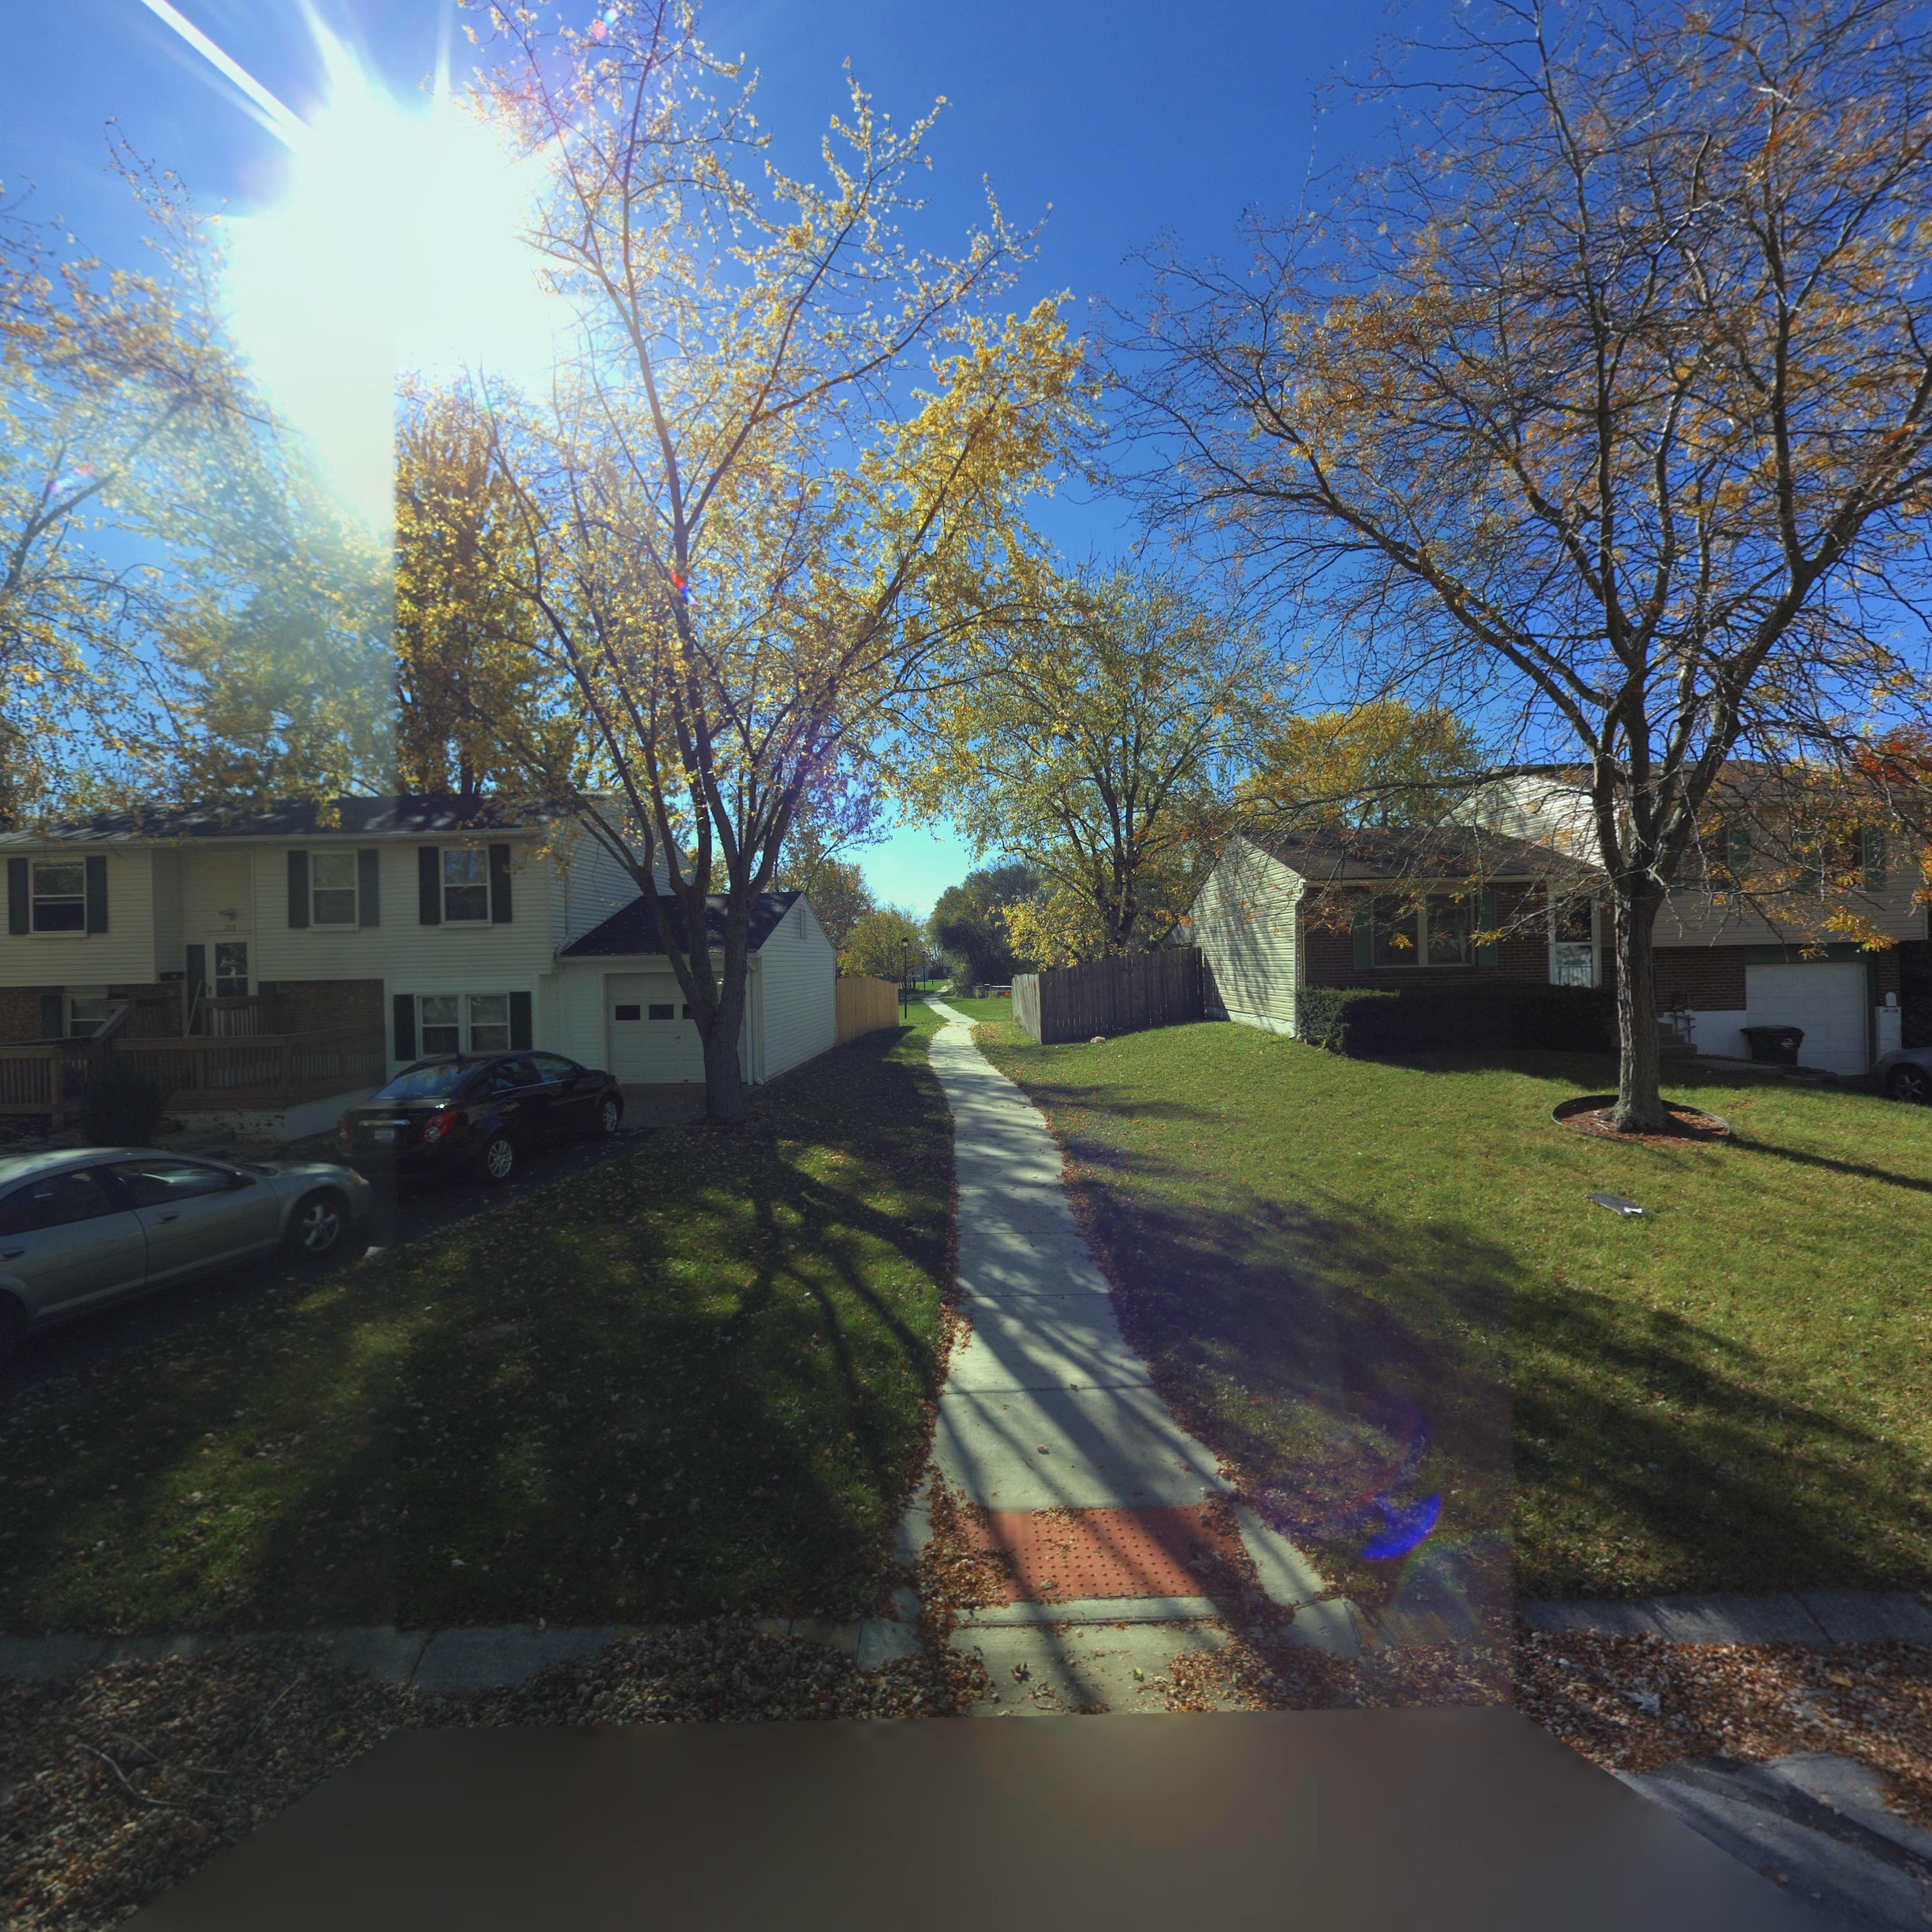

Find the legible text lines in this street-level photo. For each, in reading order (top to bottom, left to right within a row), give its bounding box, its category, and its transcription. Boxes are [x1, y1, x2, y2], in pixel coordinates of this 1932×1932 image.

[1511, 913, 1520, 924] StreetNumber: 7
[224, 924, 237, 932] StreetNumber: 713